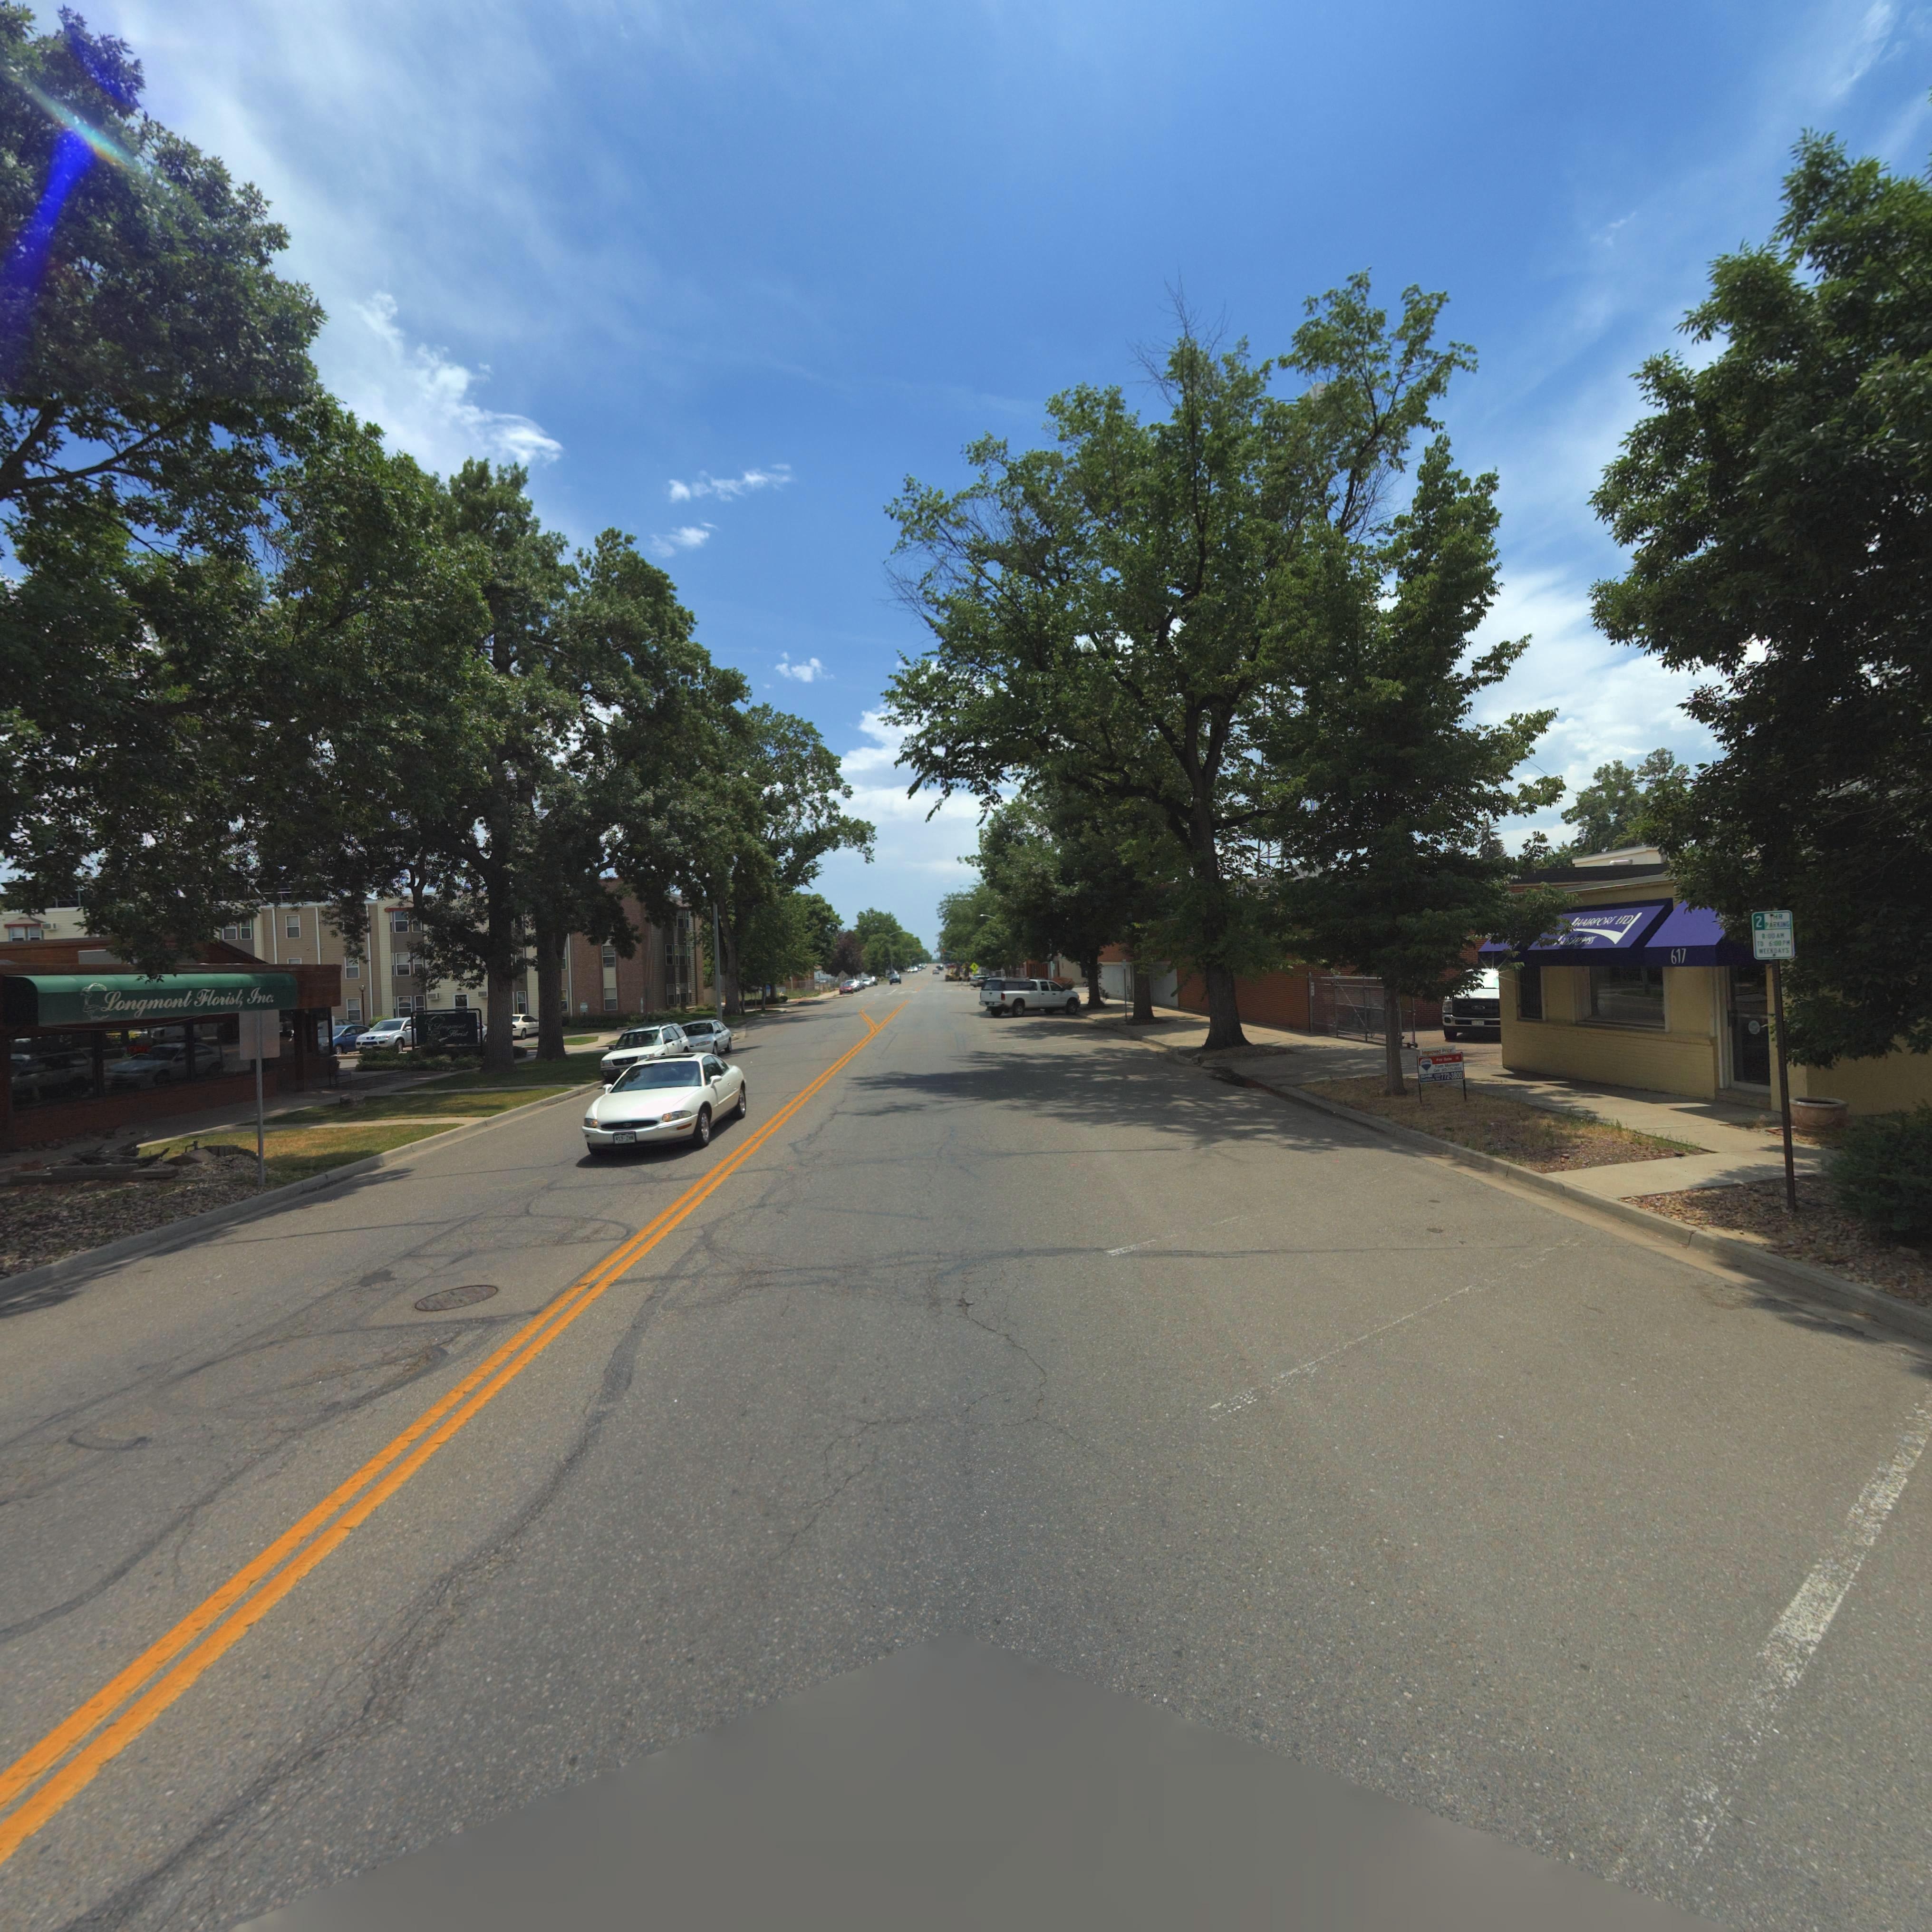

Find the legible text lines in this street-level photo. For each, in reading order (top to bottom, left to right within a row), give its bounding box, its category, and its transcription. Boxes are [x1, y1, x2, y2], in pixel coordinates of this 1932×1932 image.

[1573, 914, 1634, 927] BusinessName: HAIRPORT LTD
[1669, 947, 1686, 965] StreetNumber: 617
[100, 986, 277, 1019] BusinessName: Longmont Florist, Inc.
[433, 1022, 467, 1030] BusinessName: Longmont
[447, 1029, 469, 1037] BusinessName: Flo****